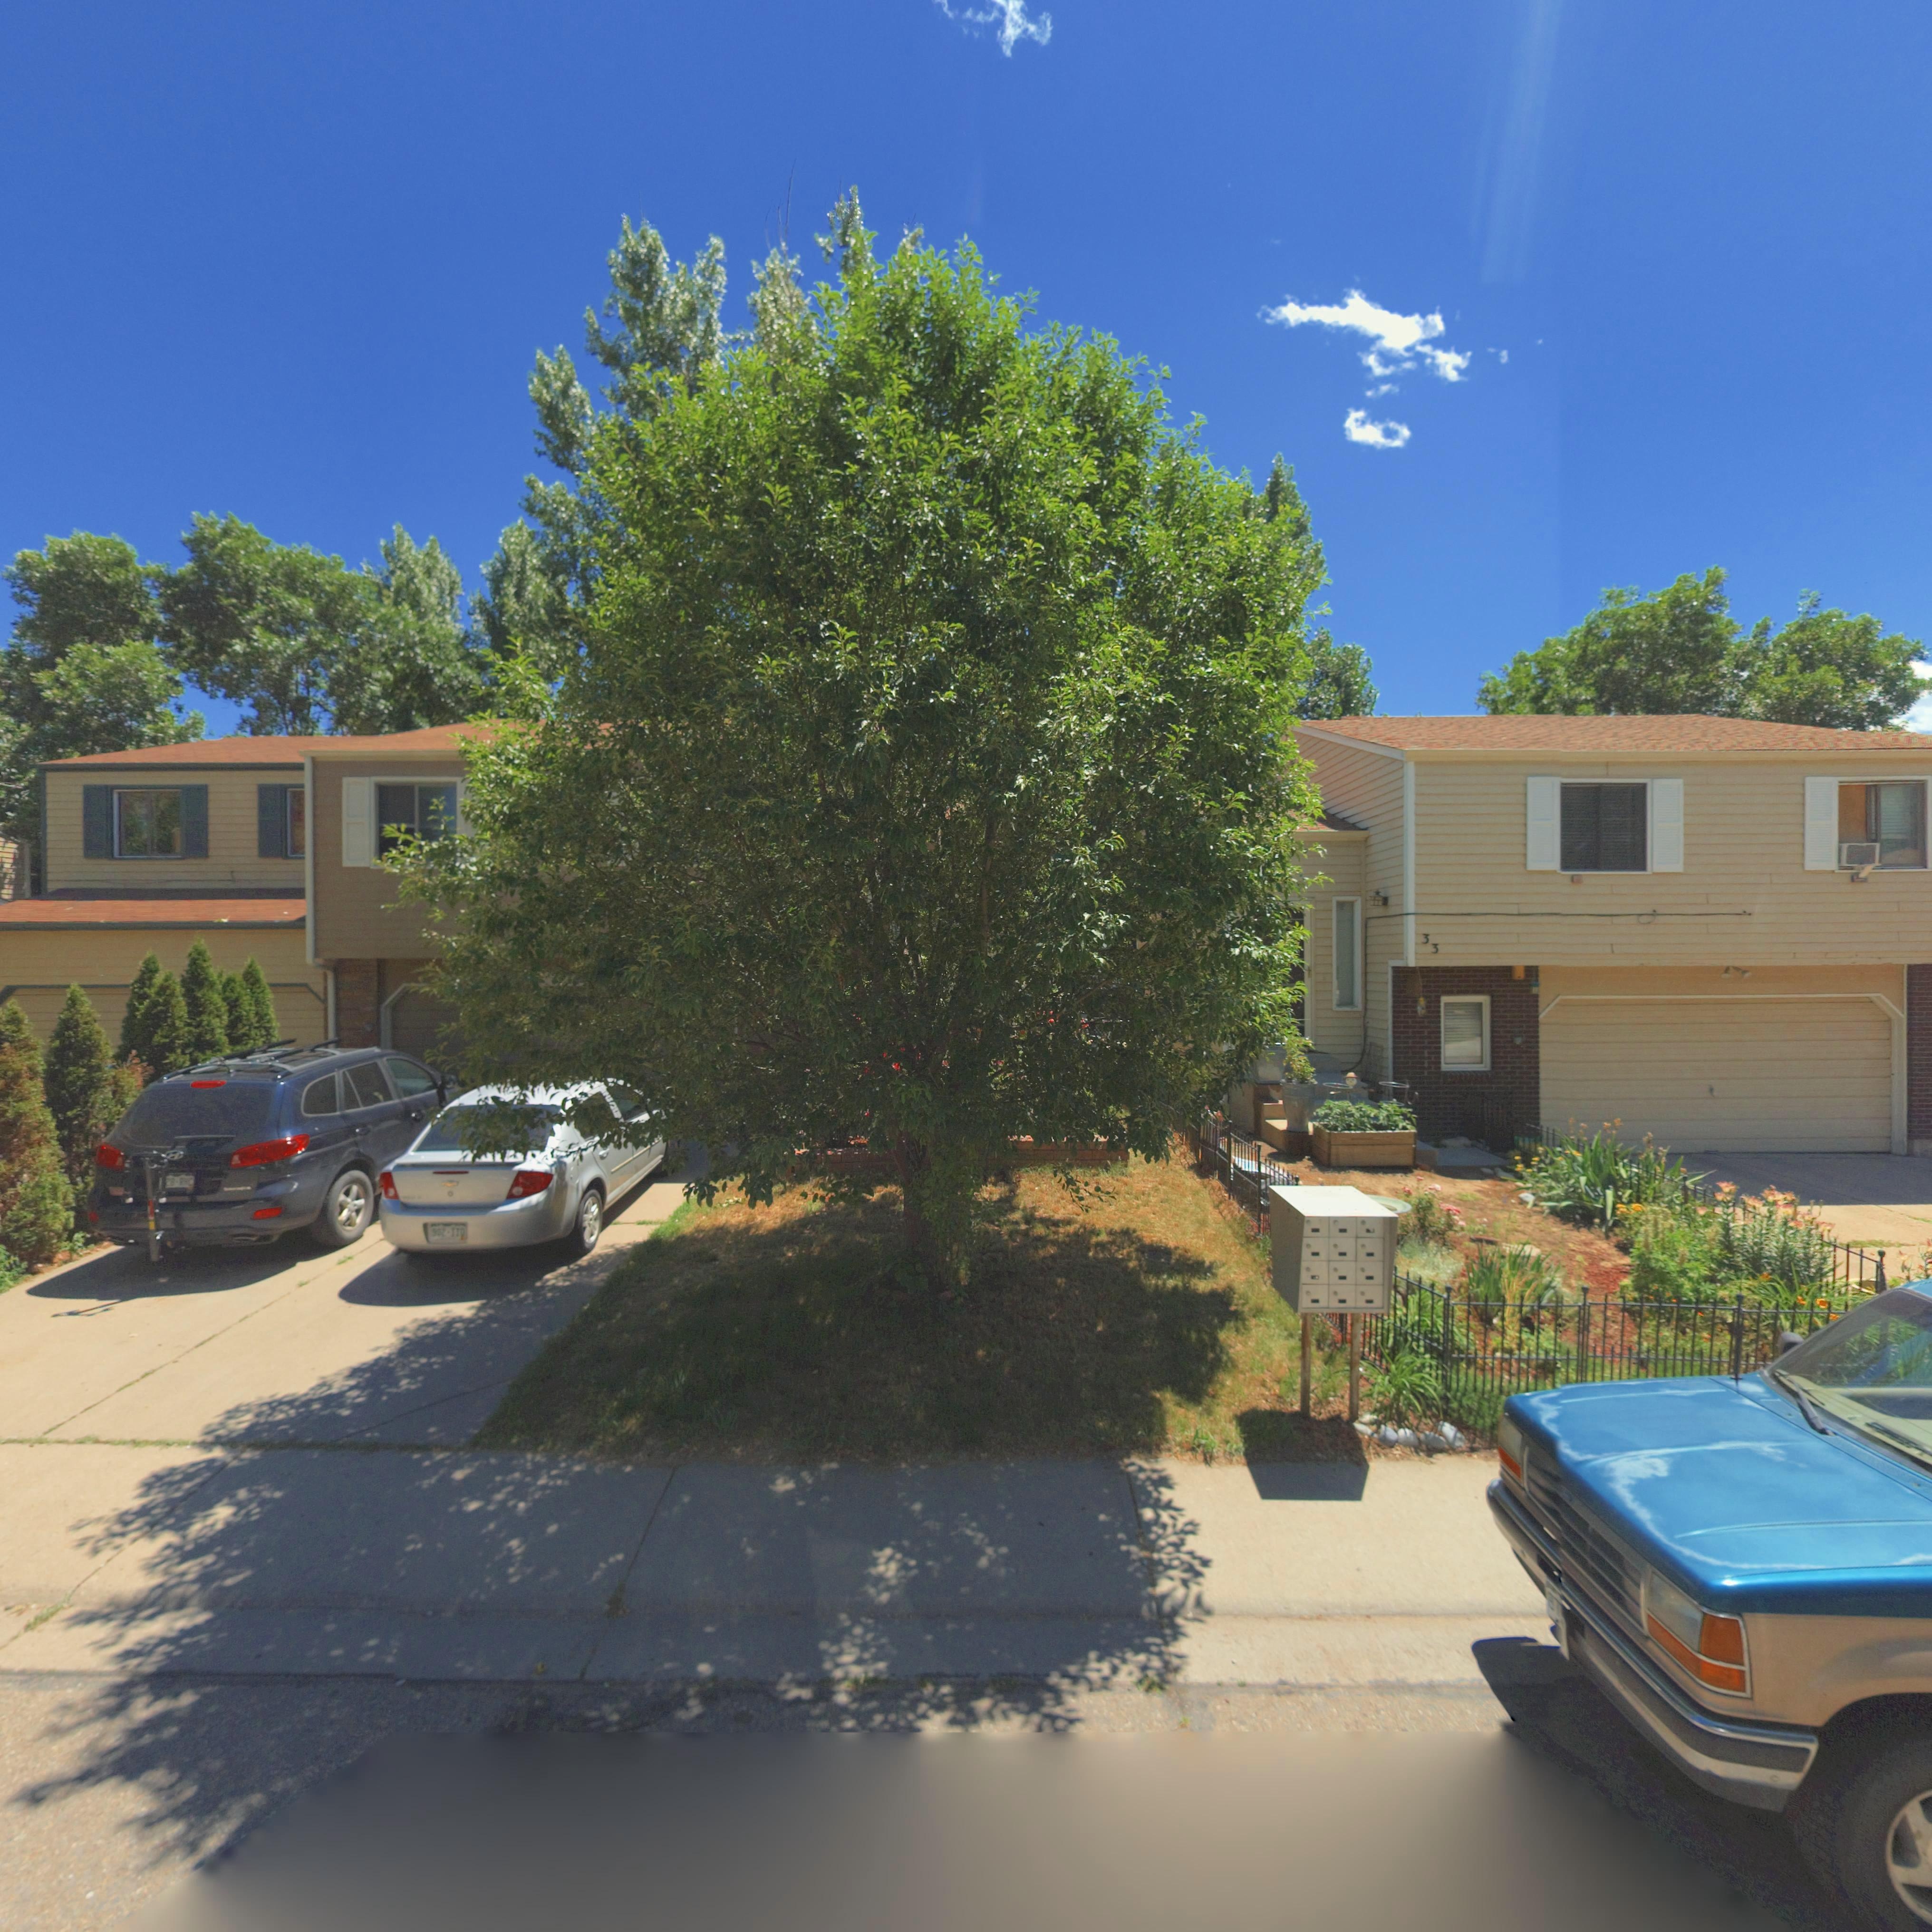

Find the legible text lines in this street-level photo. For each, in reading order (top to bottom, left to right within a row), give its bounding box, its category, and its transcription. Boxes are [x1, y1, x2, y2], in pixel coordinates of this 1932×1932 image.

[1421, 933, 1439, 954] StreetNumber: 33